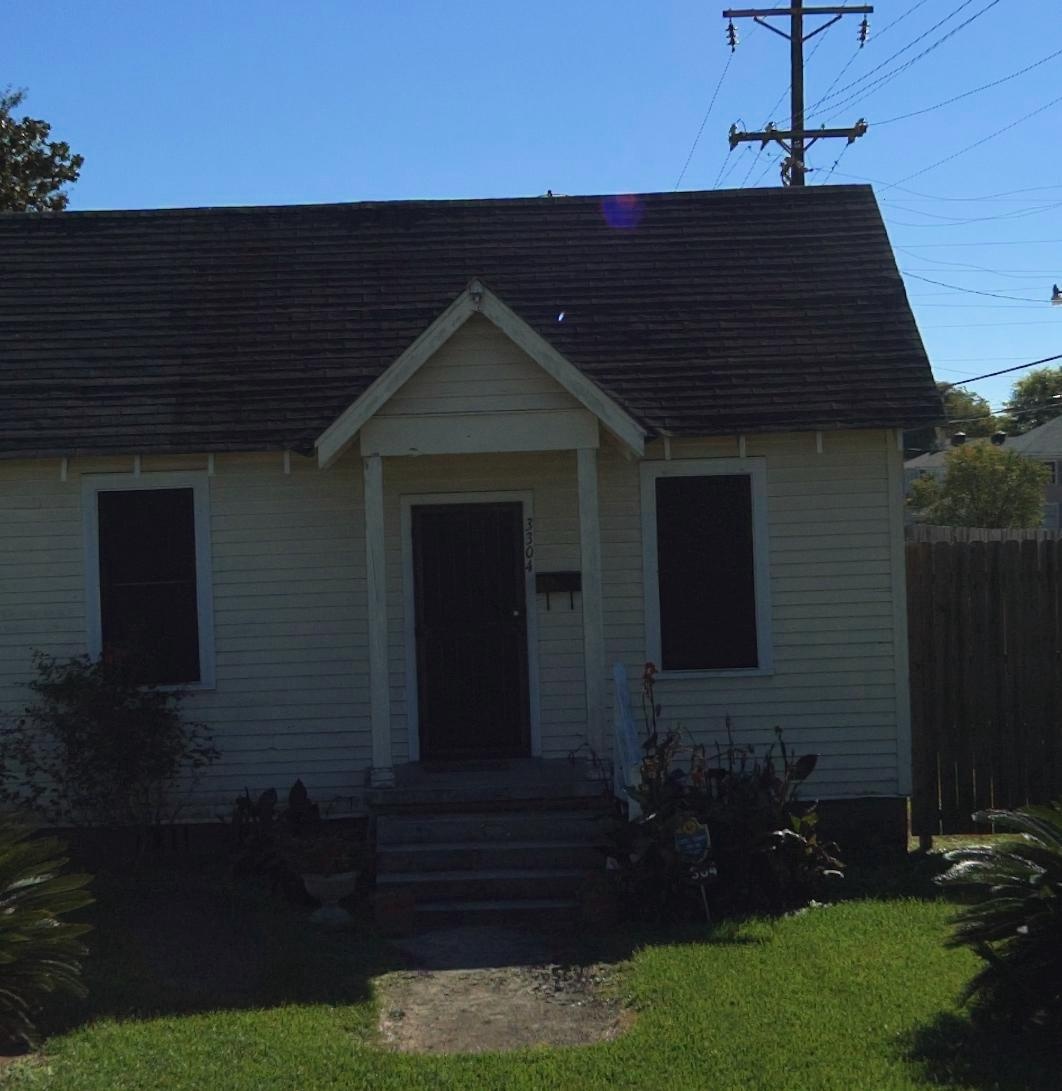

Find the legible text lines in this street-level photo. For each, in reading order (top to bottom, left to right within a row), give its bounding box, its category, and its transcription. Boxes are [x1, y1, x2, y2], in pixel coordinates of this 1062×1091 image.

[523, 515, 535, 575] StreetNumber: 3304